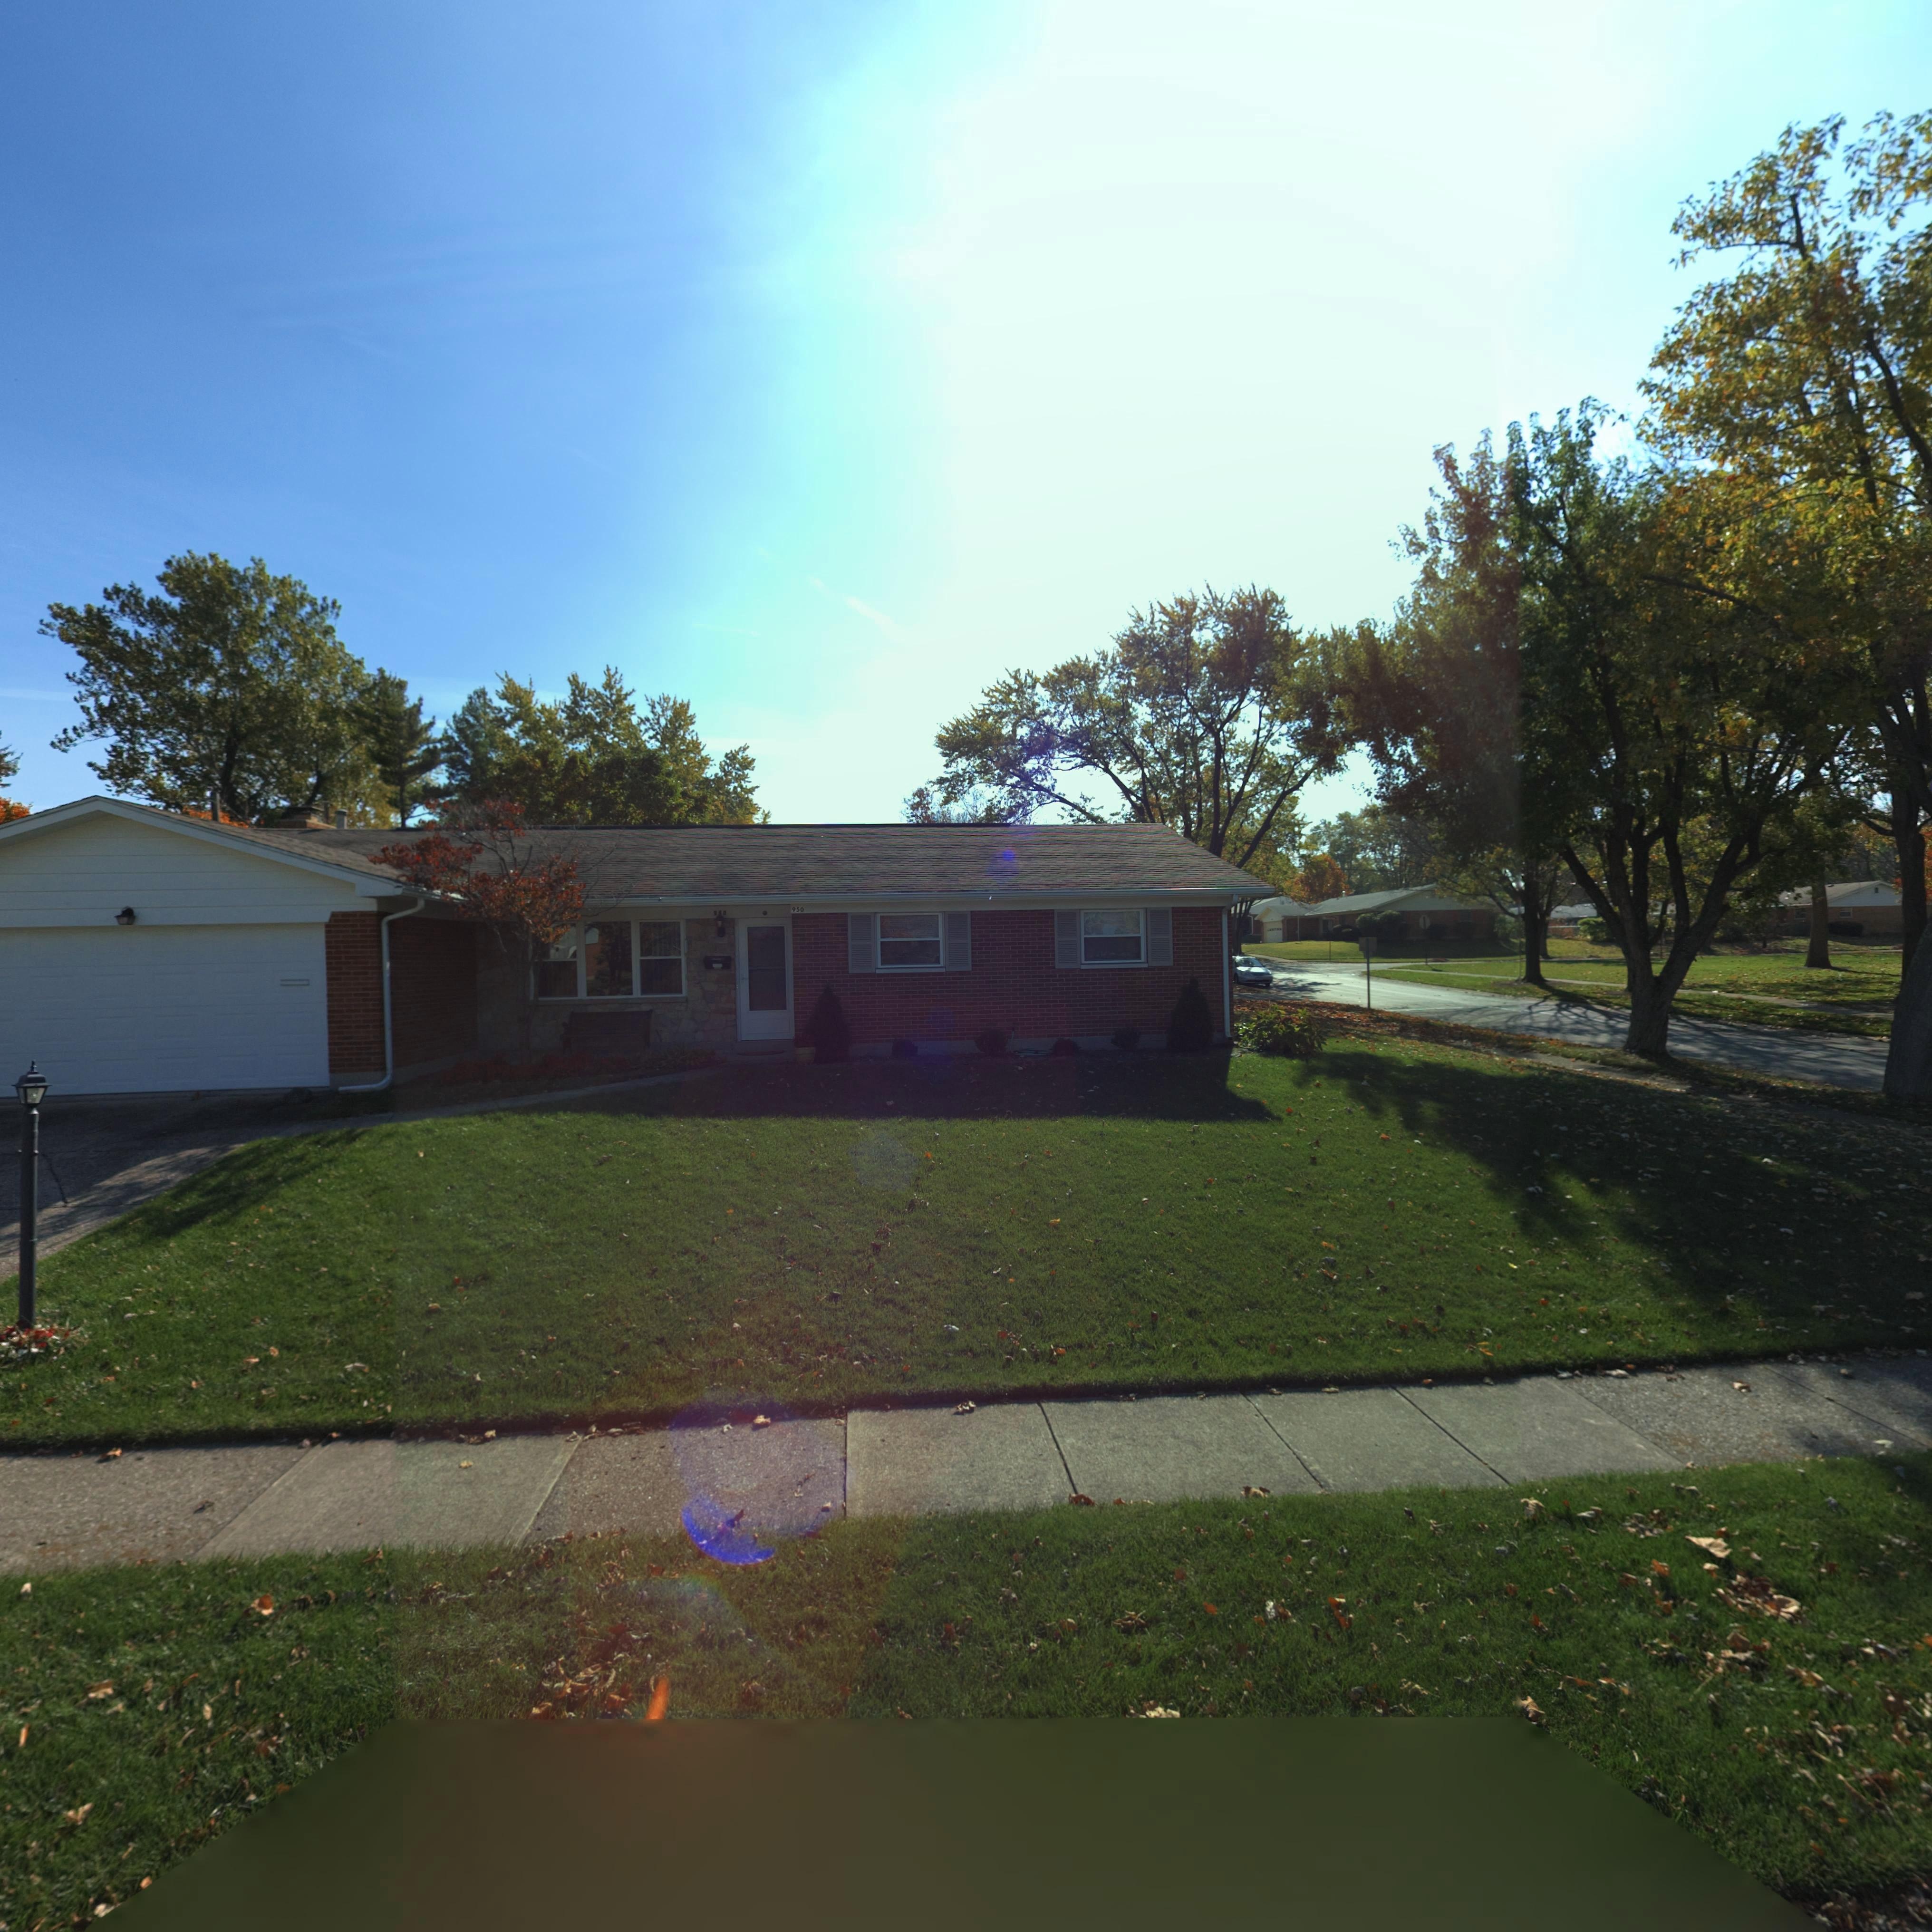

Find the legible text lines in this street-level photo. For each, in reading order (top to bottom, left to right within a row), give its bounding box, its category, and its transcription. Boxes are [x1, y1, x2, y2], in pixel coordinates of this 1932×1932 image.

[792, 906, 804, 913] StreetNumber: 950